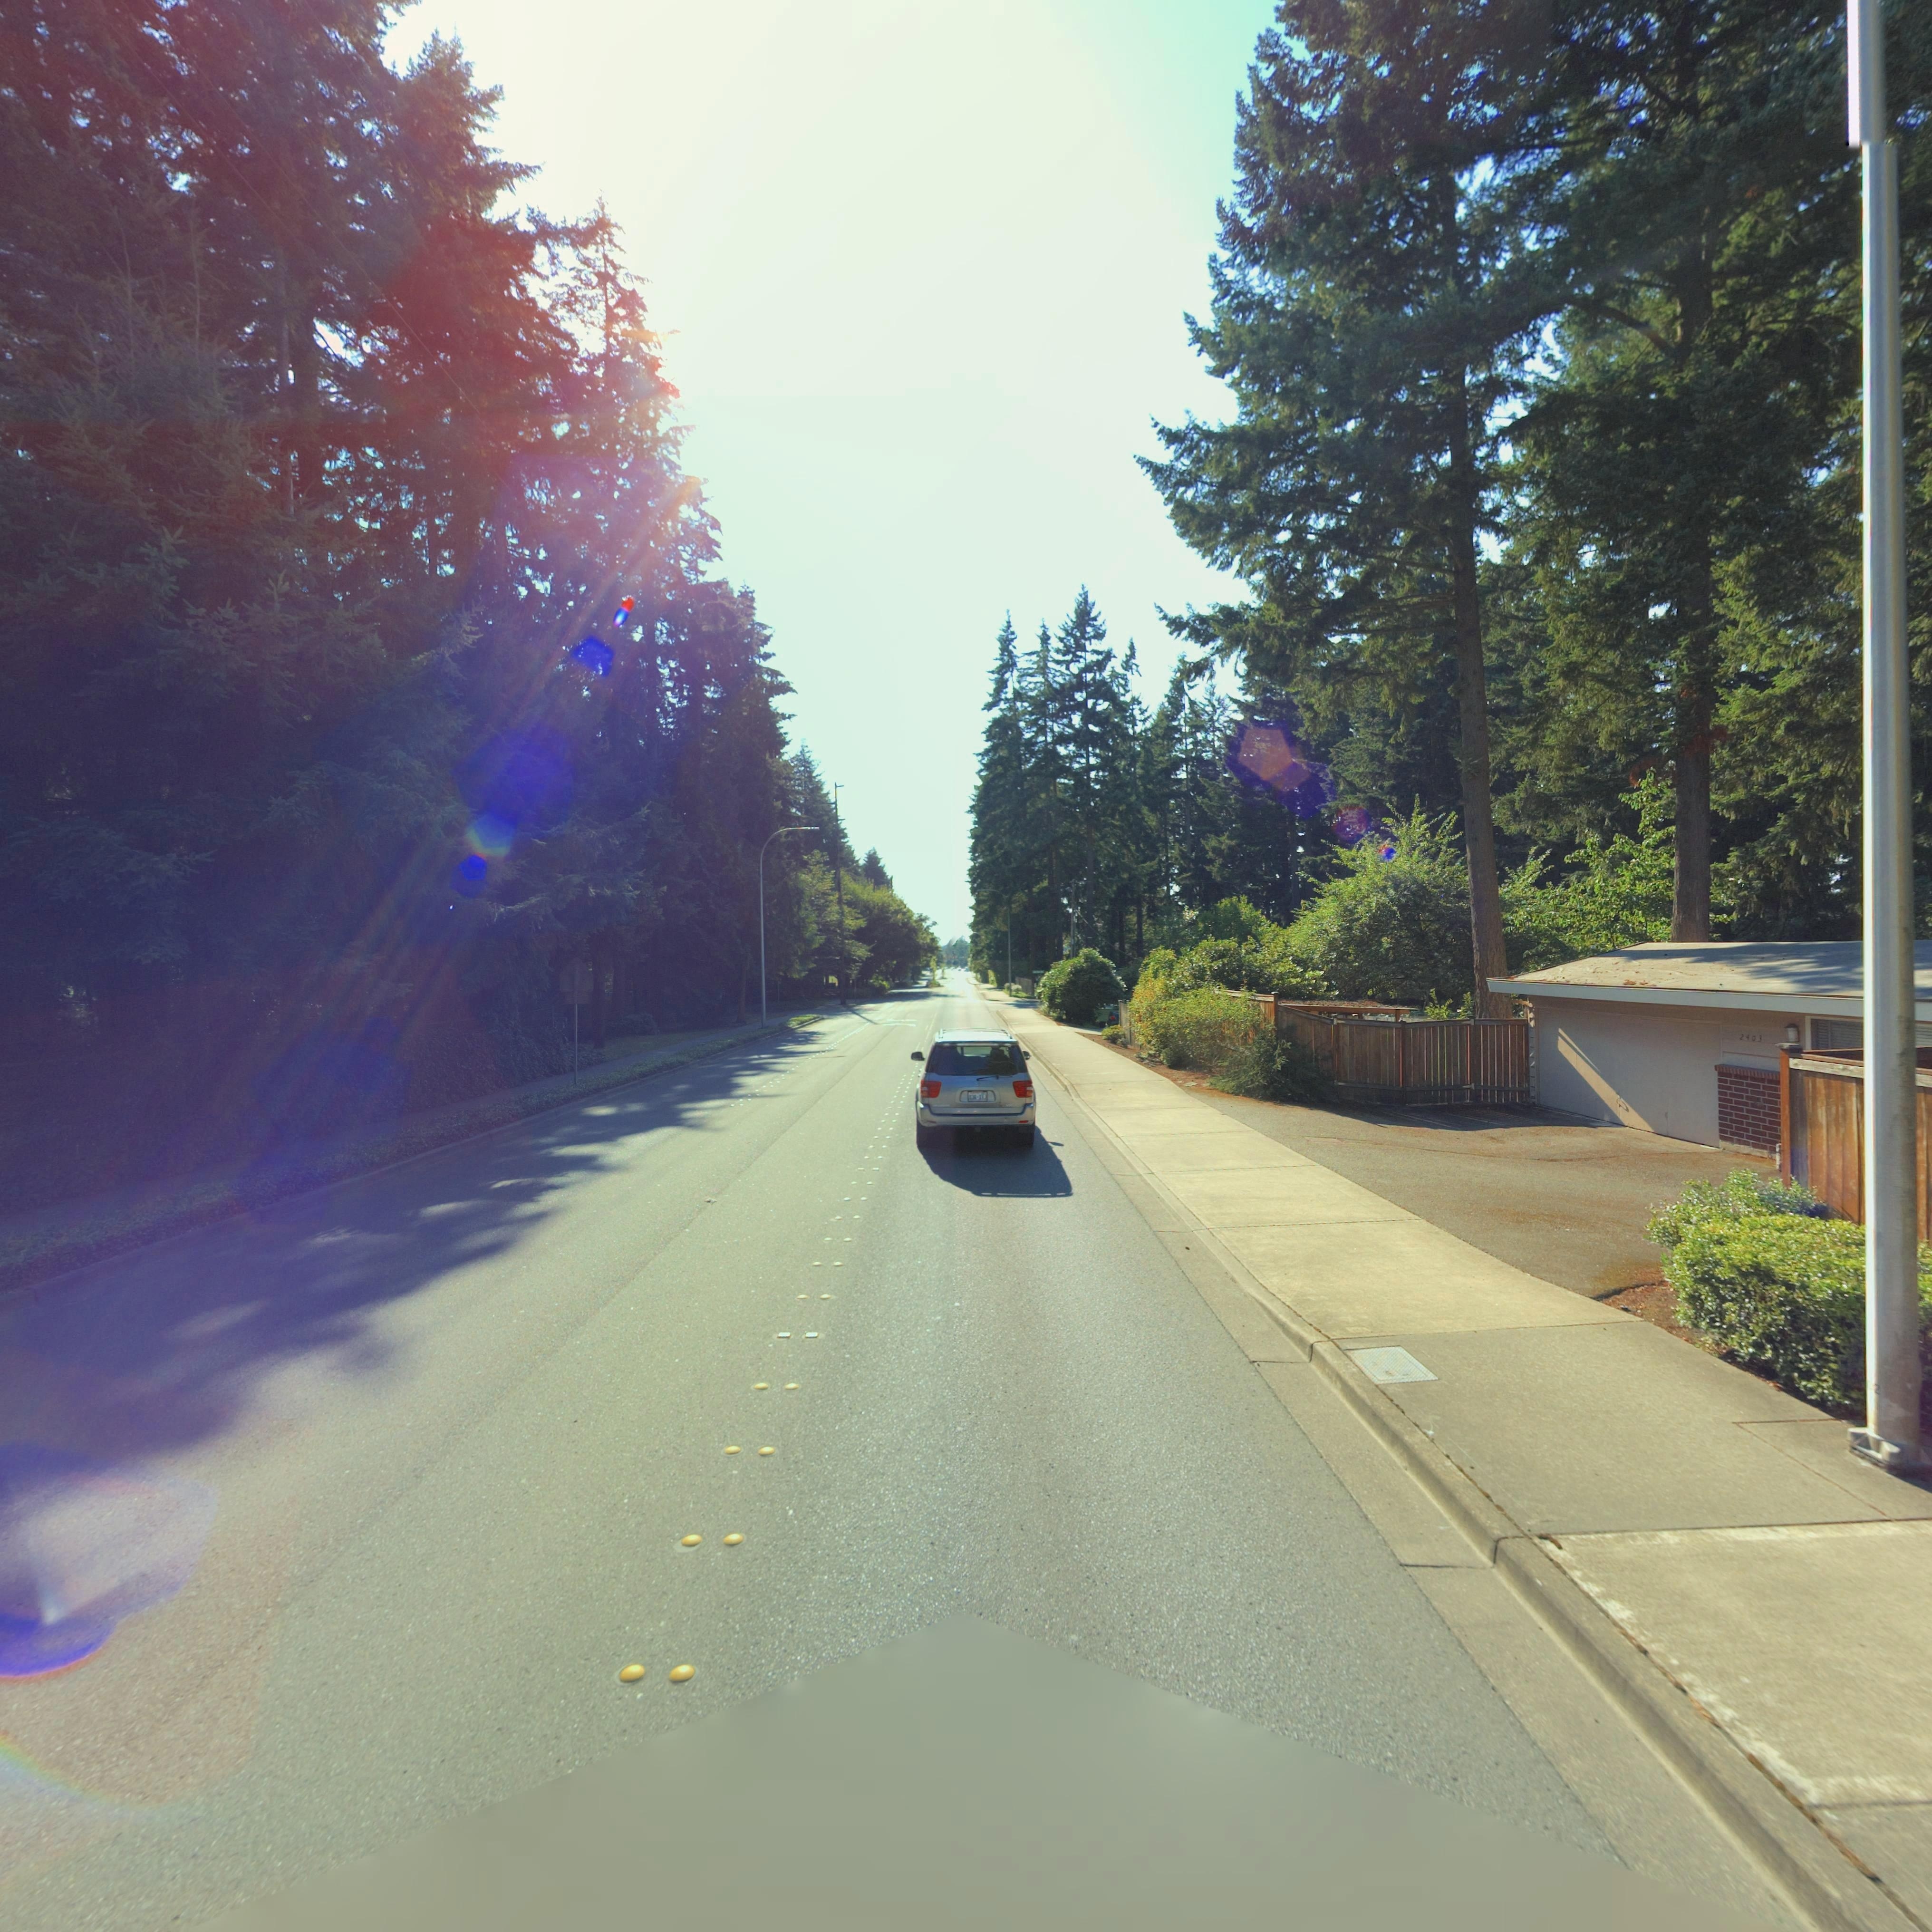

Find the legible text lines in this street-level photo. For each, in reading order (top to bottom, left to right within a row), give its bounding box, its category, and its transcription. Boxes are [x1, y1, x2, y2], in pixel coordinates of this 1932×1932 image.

[1739, 1033, 1763, 1042] StreetNumber: 2403